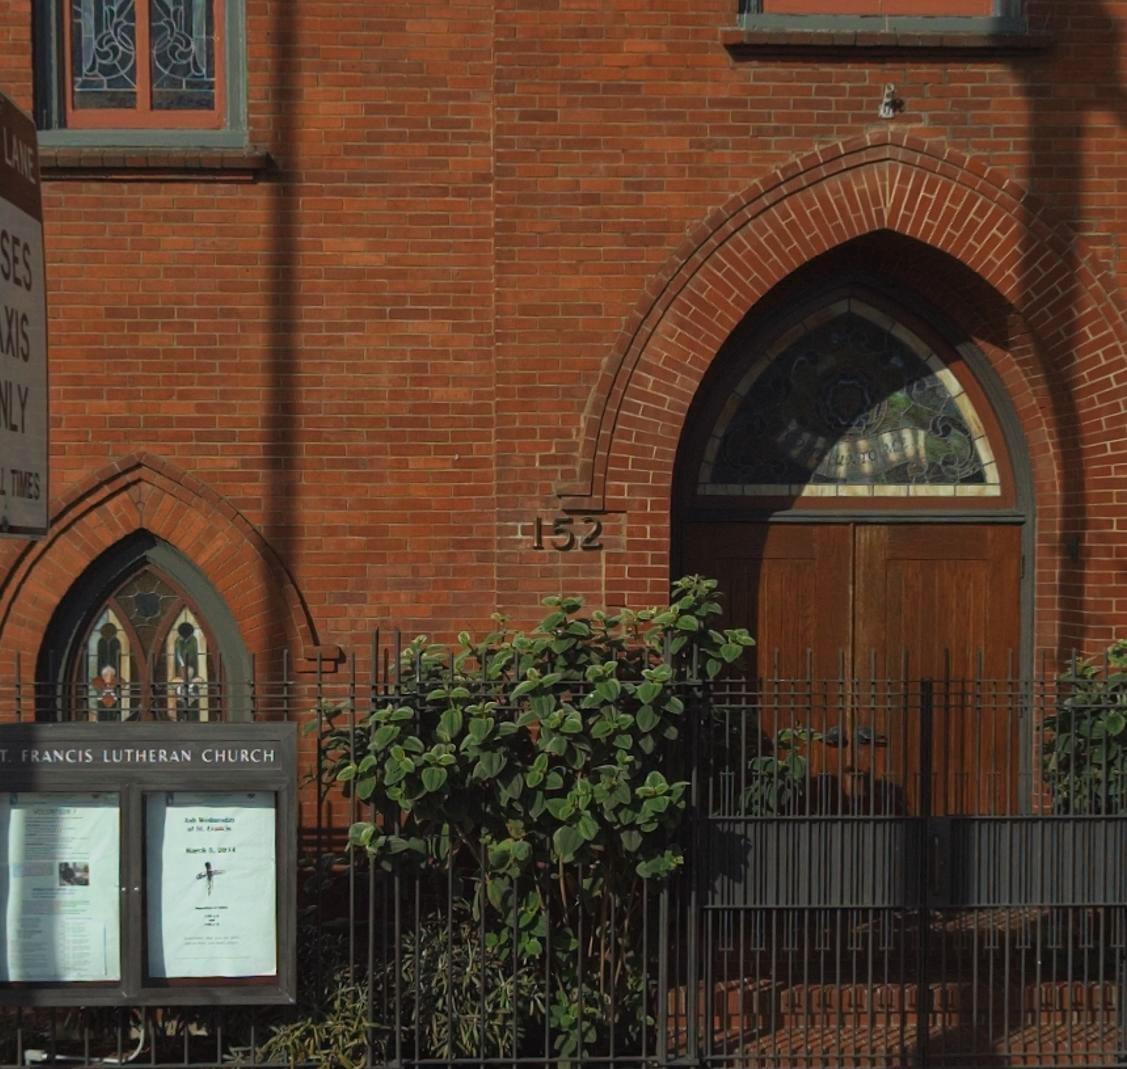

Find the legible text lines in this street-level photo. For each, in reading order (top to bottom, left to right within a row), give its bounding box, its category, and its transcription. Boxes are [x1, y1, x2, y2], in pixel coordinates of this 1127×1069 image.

[1, 225, 35, 292] None: SES
[3, 304, 34, 365] None: XIS
[0, 377, 31, 438] None: *LY
[834, 446, 880, 471] None: UNTO
[8, 469, 44, 503] None: TIMES
[531, 514, 603, 552] StreetNumber: 152
[0, 747, 276, 765] None: *. FRANCIS LUTHERAN CHURCH